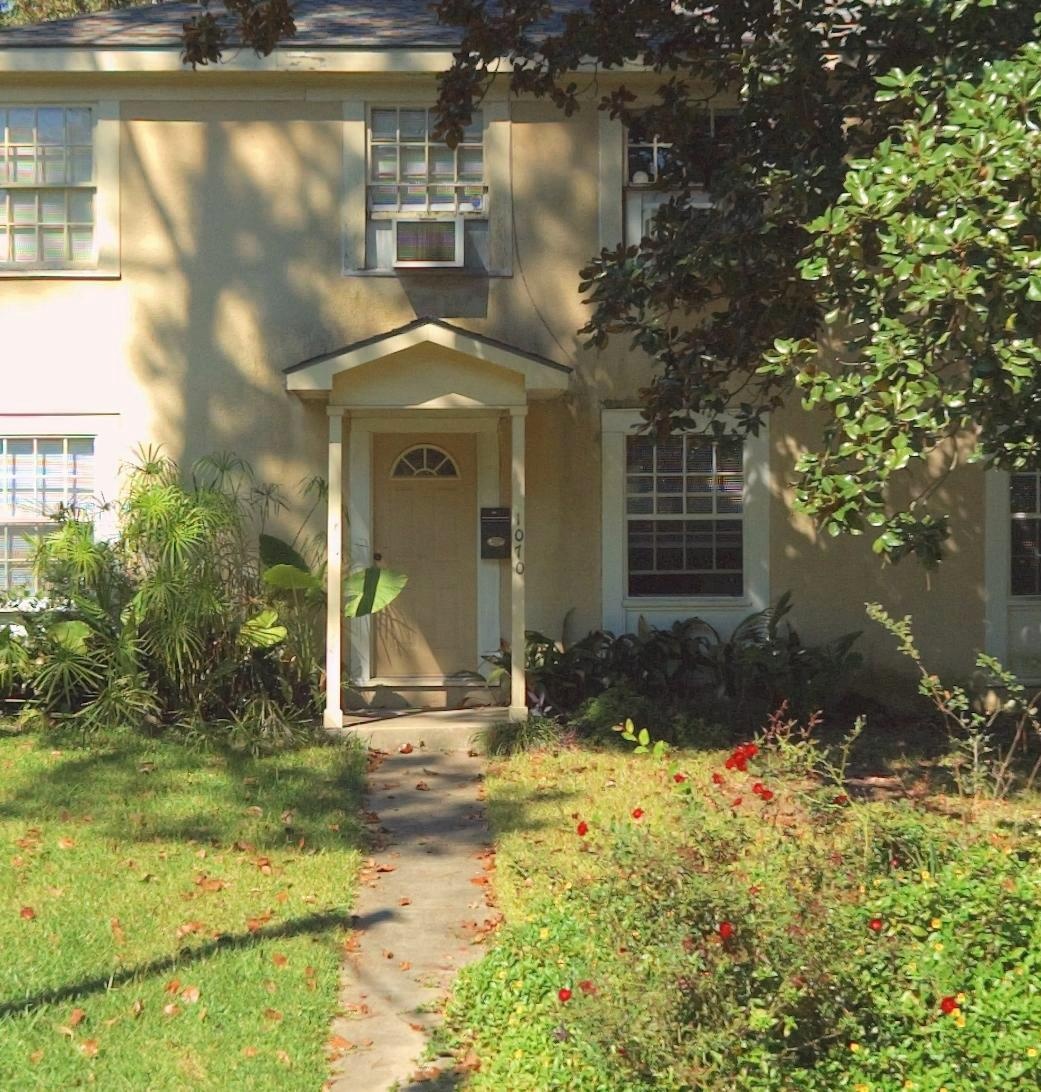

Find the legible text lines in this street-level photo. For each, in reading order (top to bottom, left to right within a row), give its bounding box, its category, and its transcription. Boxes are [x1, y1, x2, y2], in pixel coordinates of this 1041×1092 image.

[512, 511, 526, 577] StreetNumber: 1070